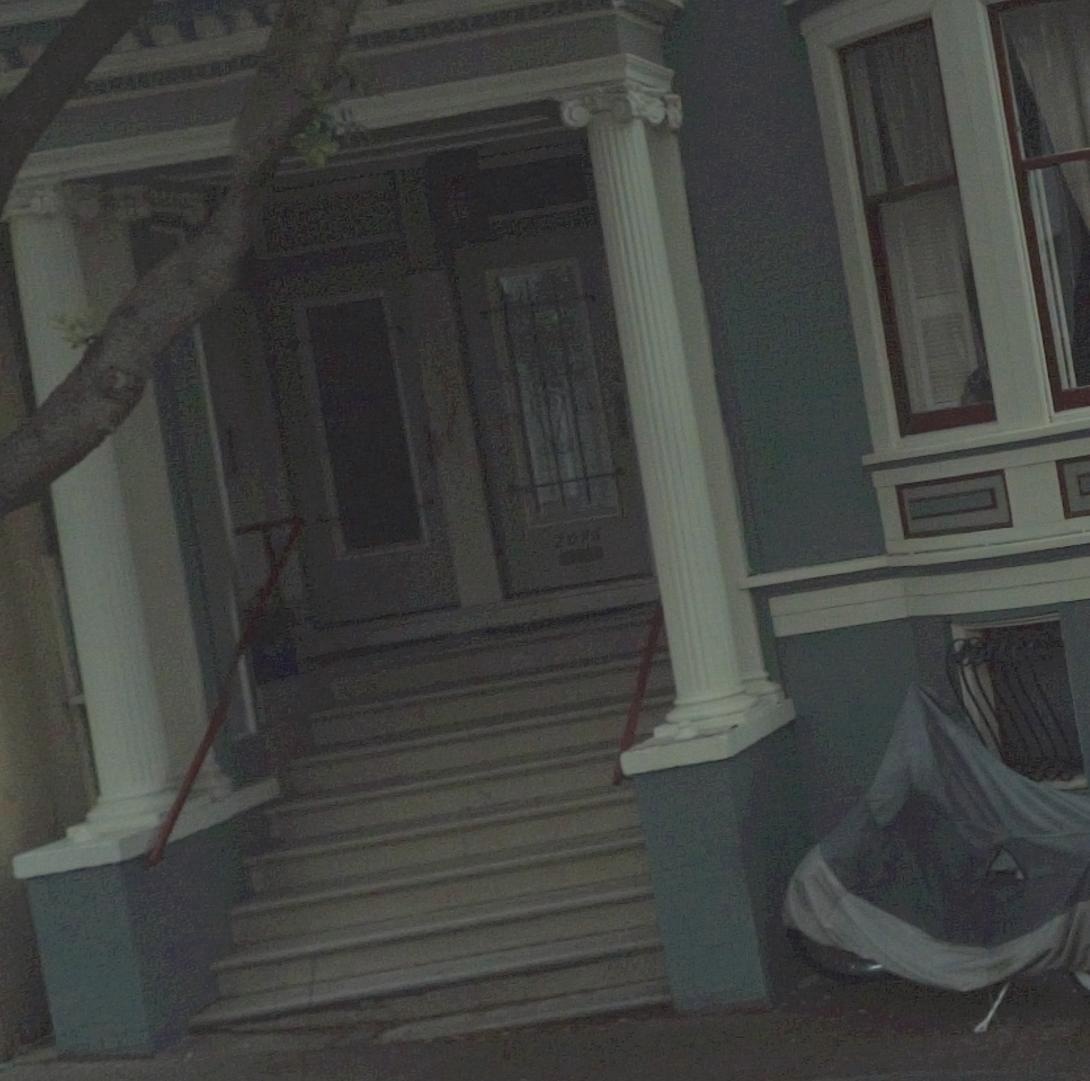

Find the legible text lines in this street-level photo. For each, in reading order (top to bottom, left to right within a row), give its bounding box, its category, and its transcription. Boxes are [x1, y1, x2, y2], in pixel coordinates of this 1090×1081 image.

[551, 525, 603, 552] StreetNumber: 2076